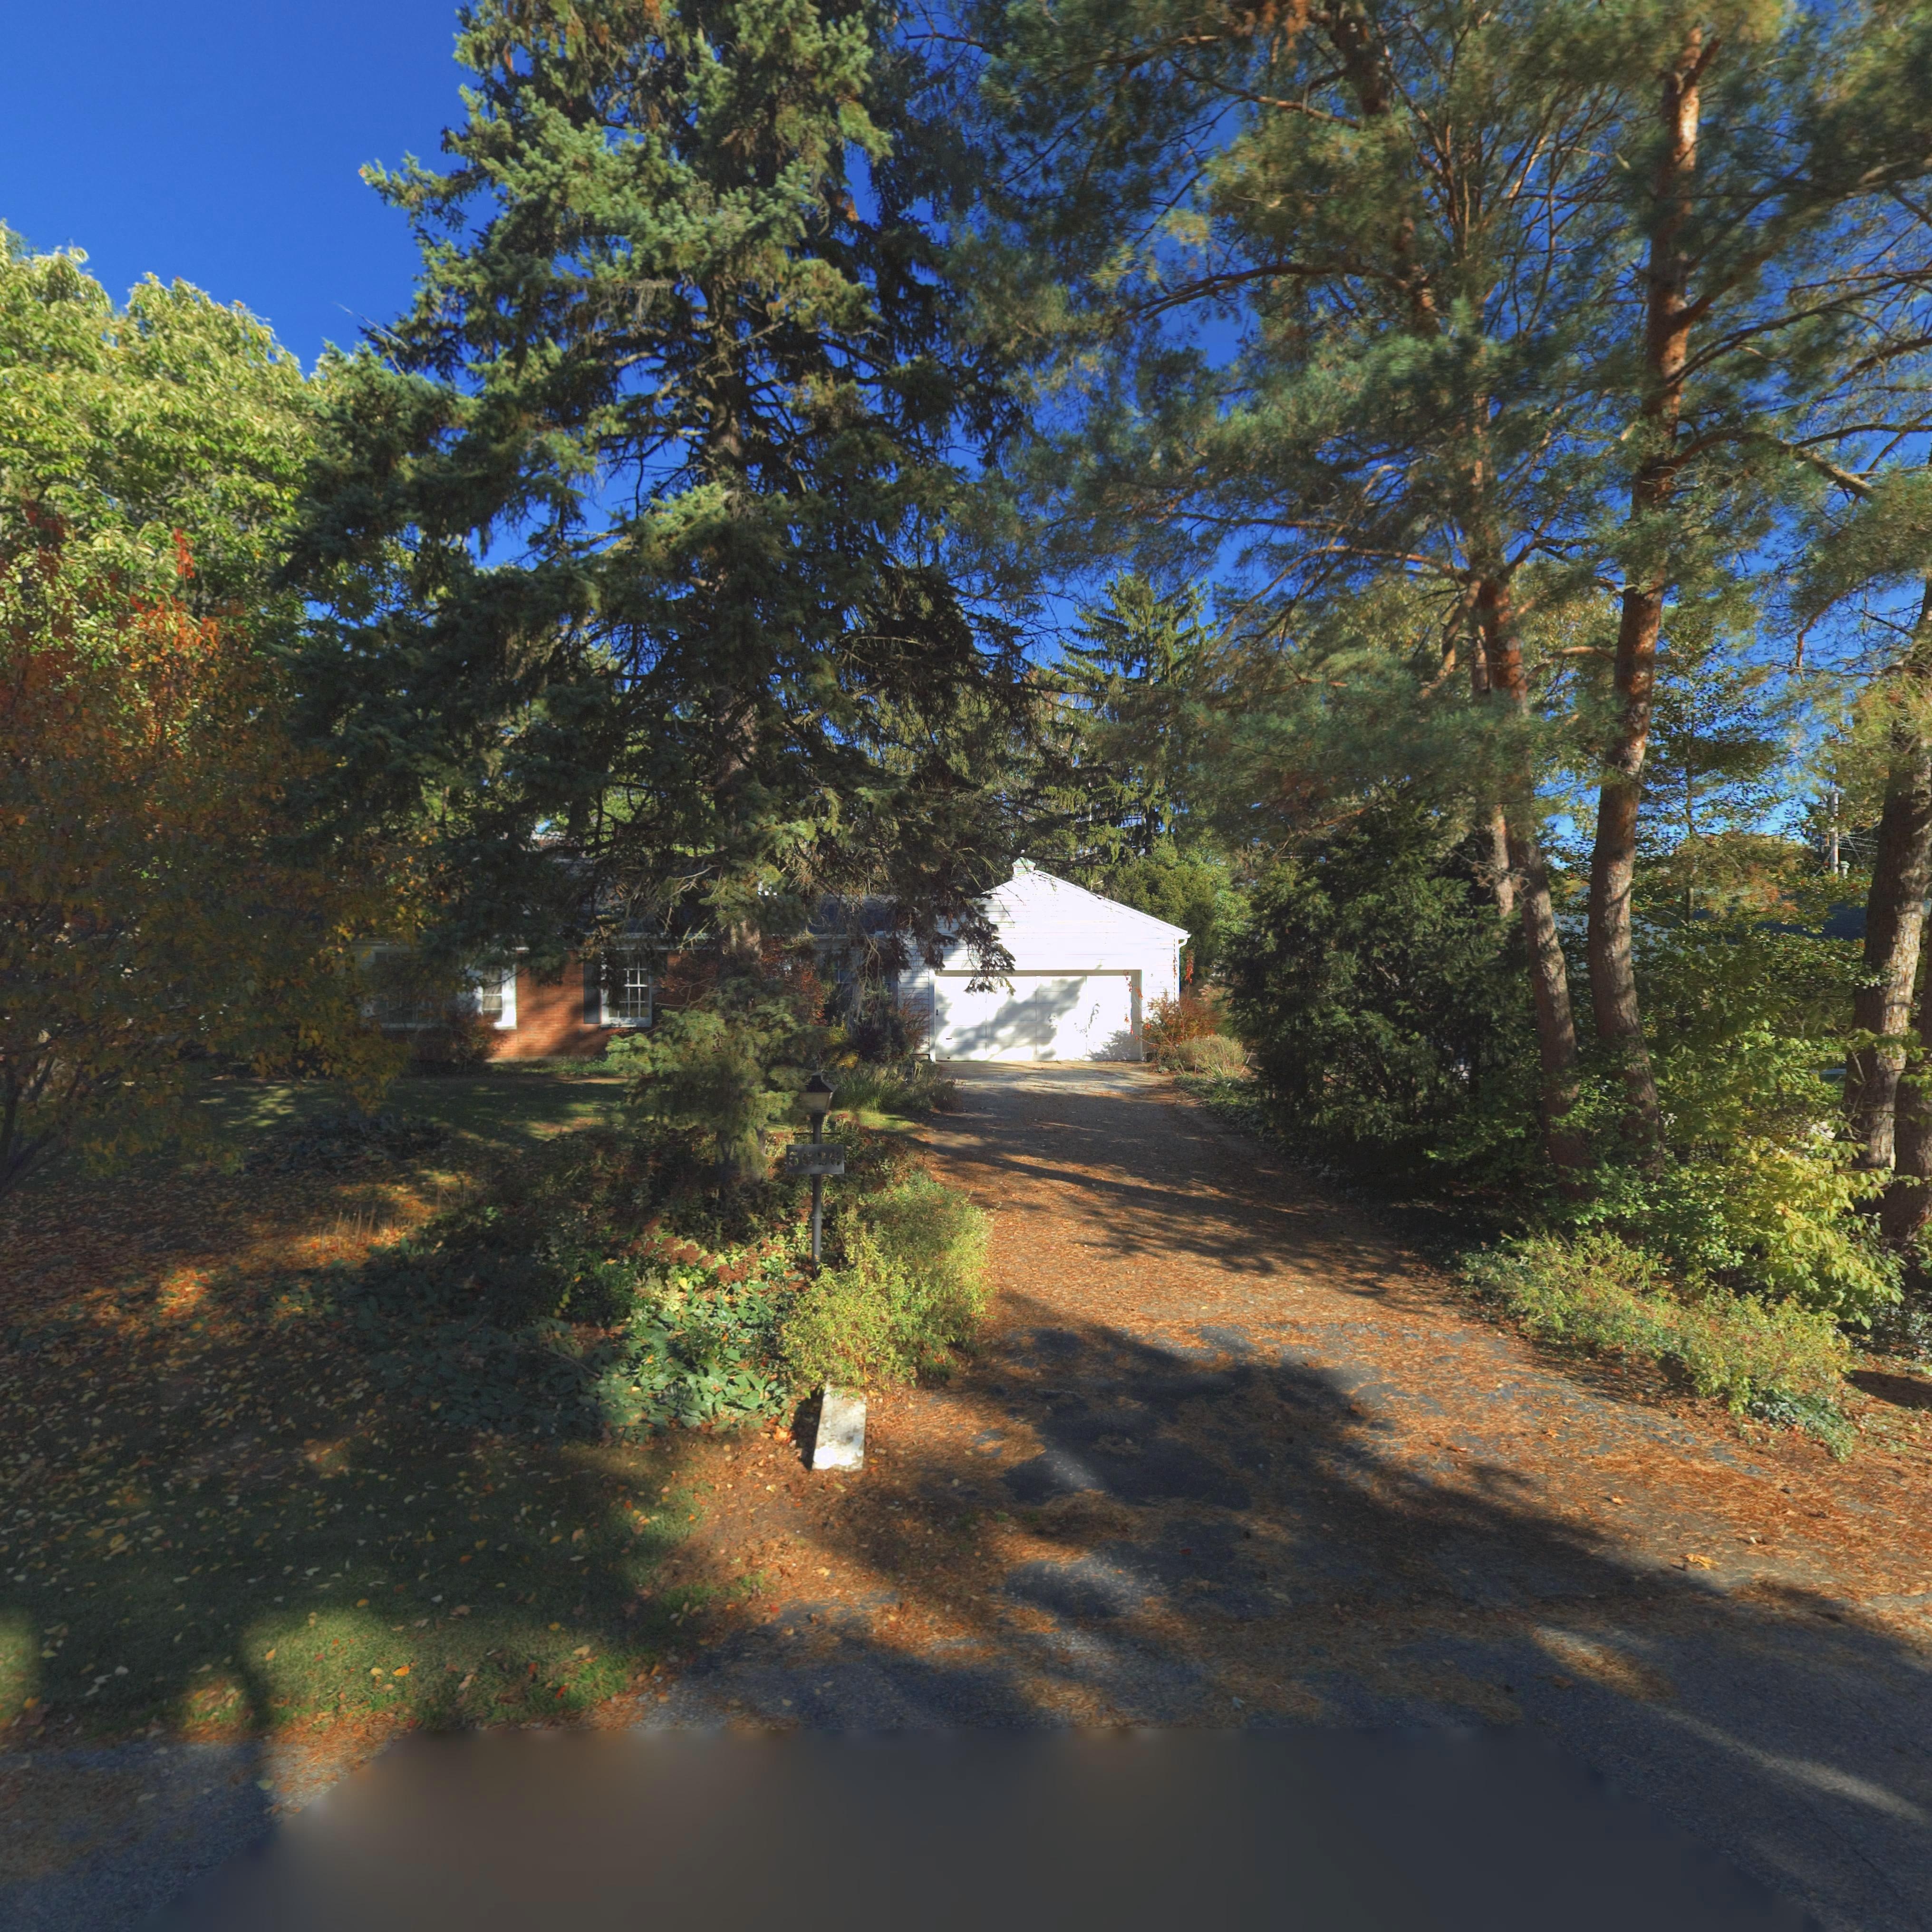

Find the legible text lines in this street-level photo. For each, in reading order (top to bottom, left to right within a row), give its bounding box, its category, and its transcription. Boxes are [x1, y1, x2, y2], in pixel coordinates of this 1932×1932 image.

[786, 1149, 843, 1168] StreetNumber: 5626